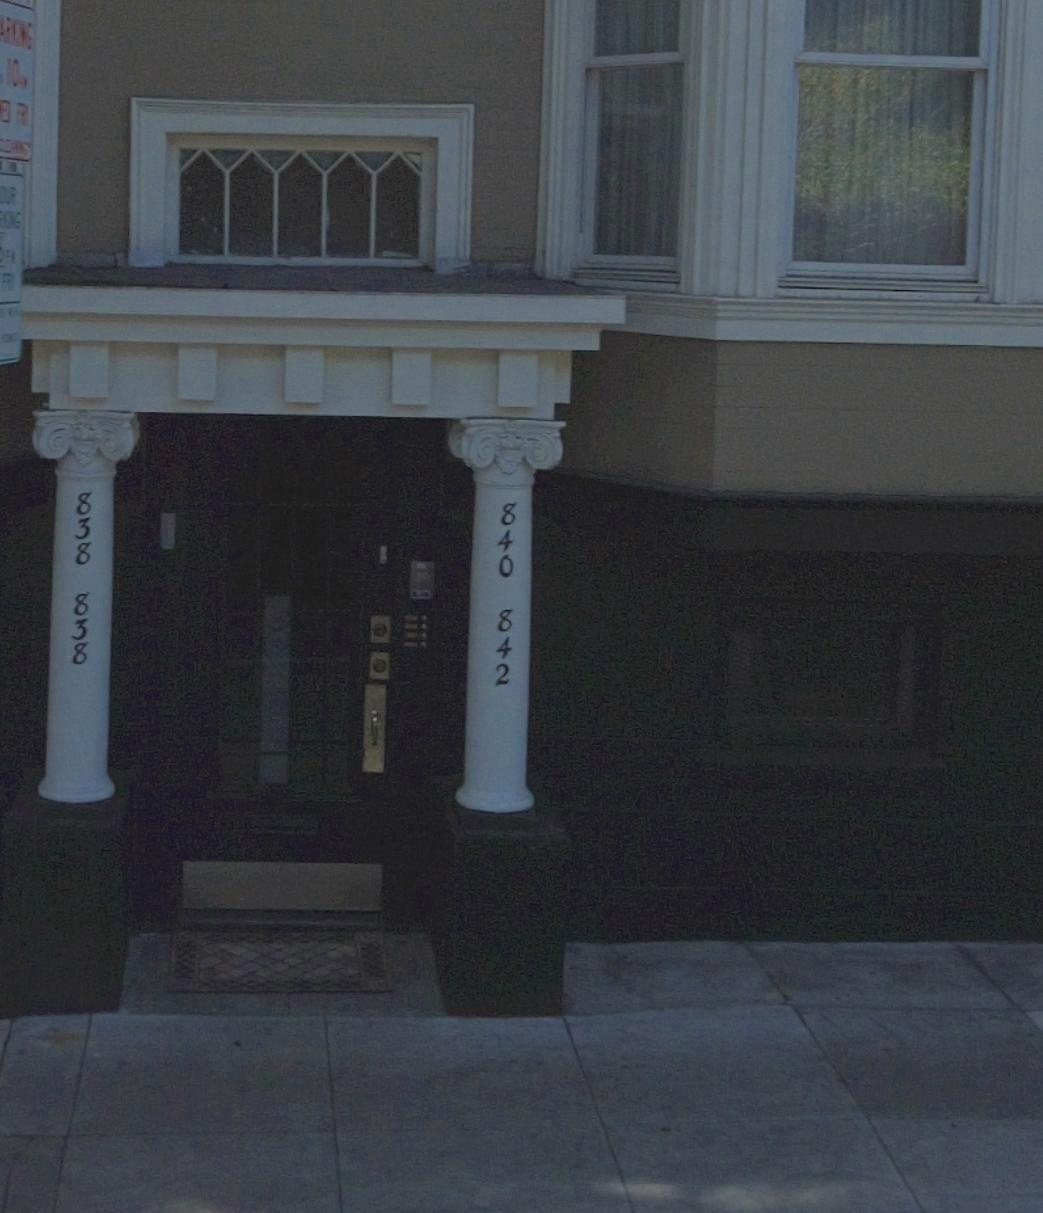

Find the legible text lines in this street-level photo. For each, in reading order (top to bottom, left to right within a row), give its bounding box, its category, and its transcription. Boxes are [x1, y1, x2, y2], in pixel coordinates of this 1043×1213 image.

[74, 488, 93, 564] StreetNumber: 838
[495, 501, 517, 578] StreetNumber: 840
[68, 590, 92, 665] StreetNumber: 838
[495, 605, 515, 687] StreetNumber: 842